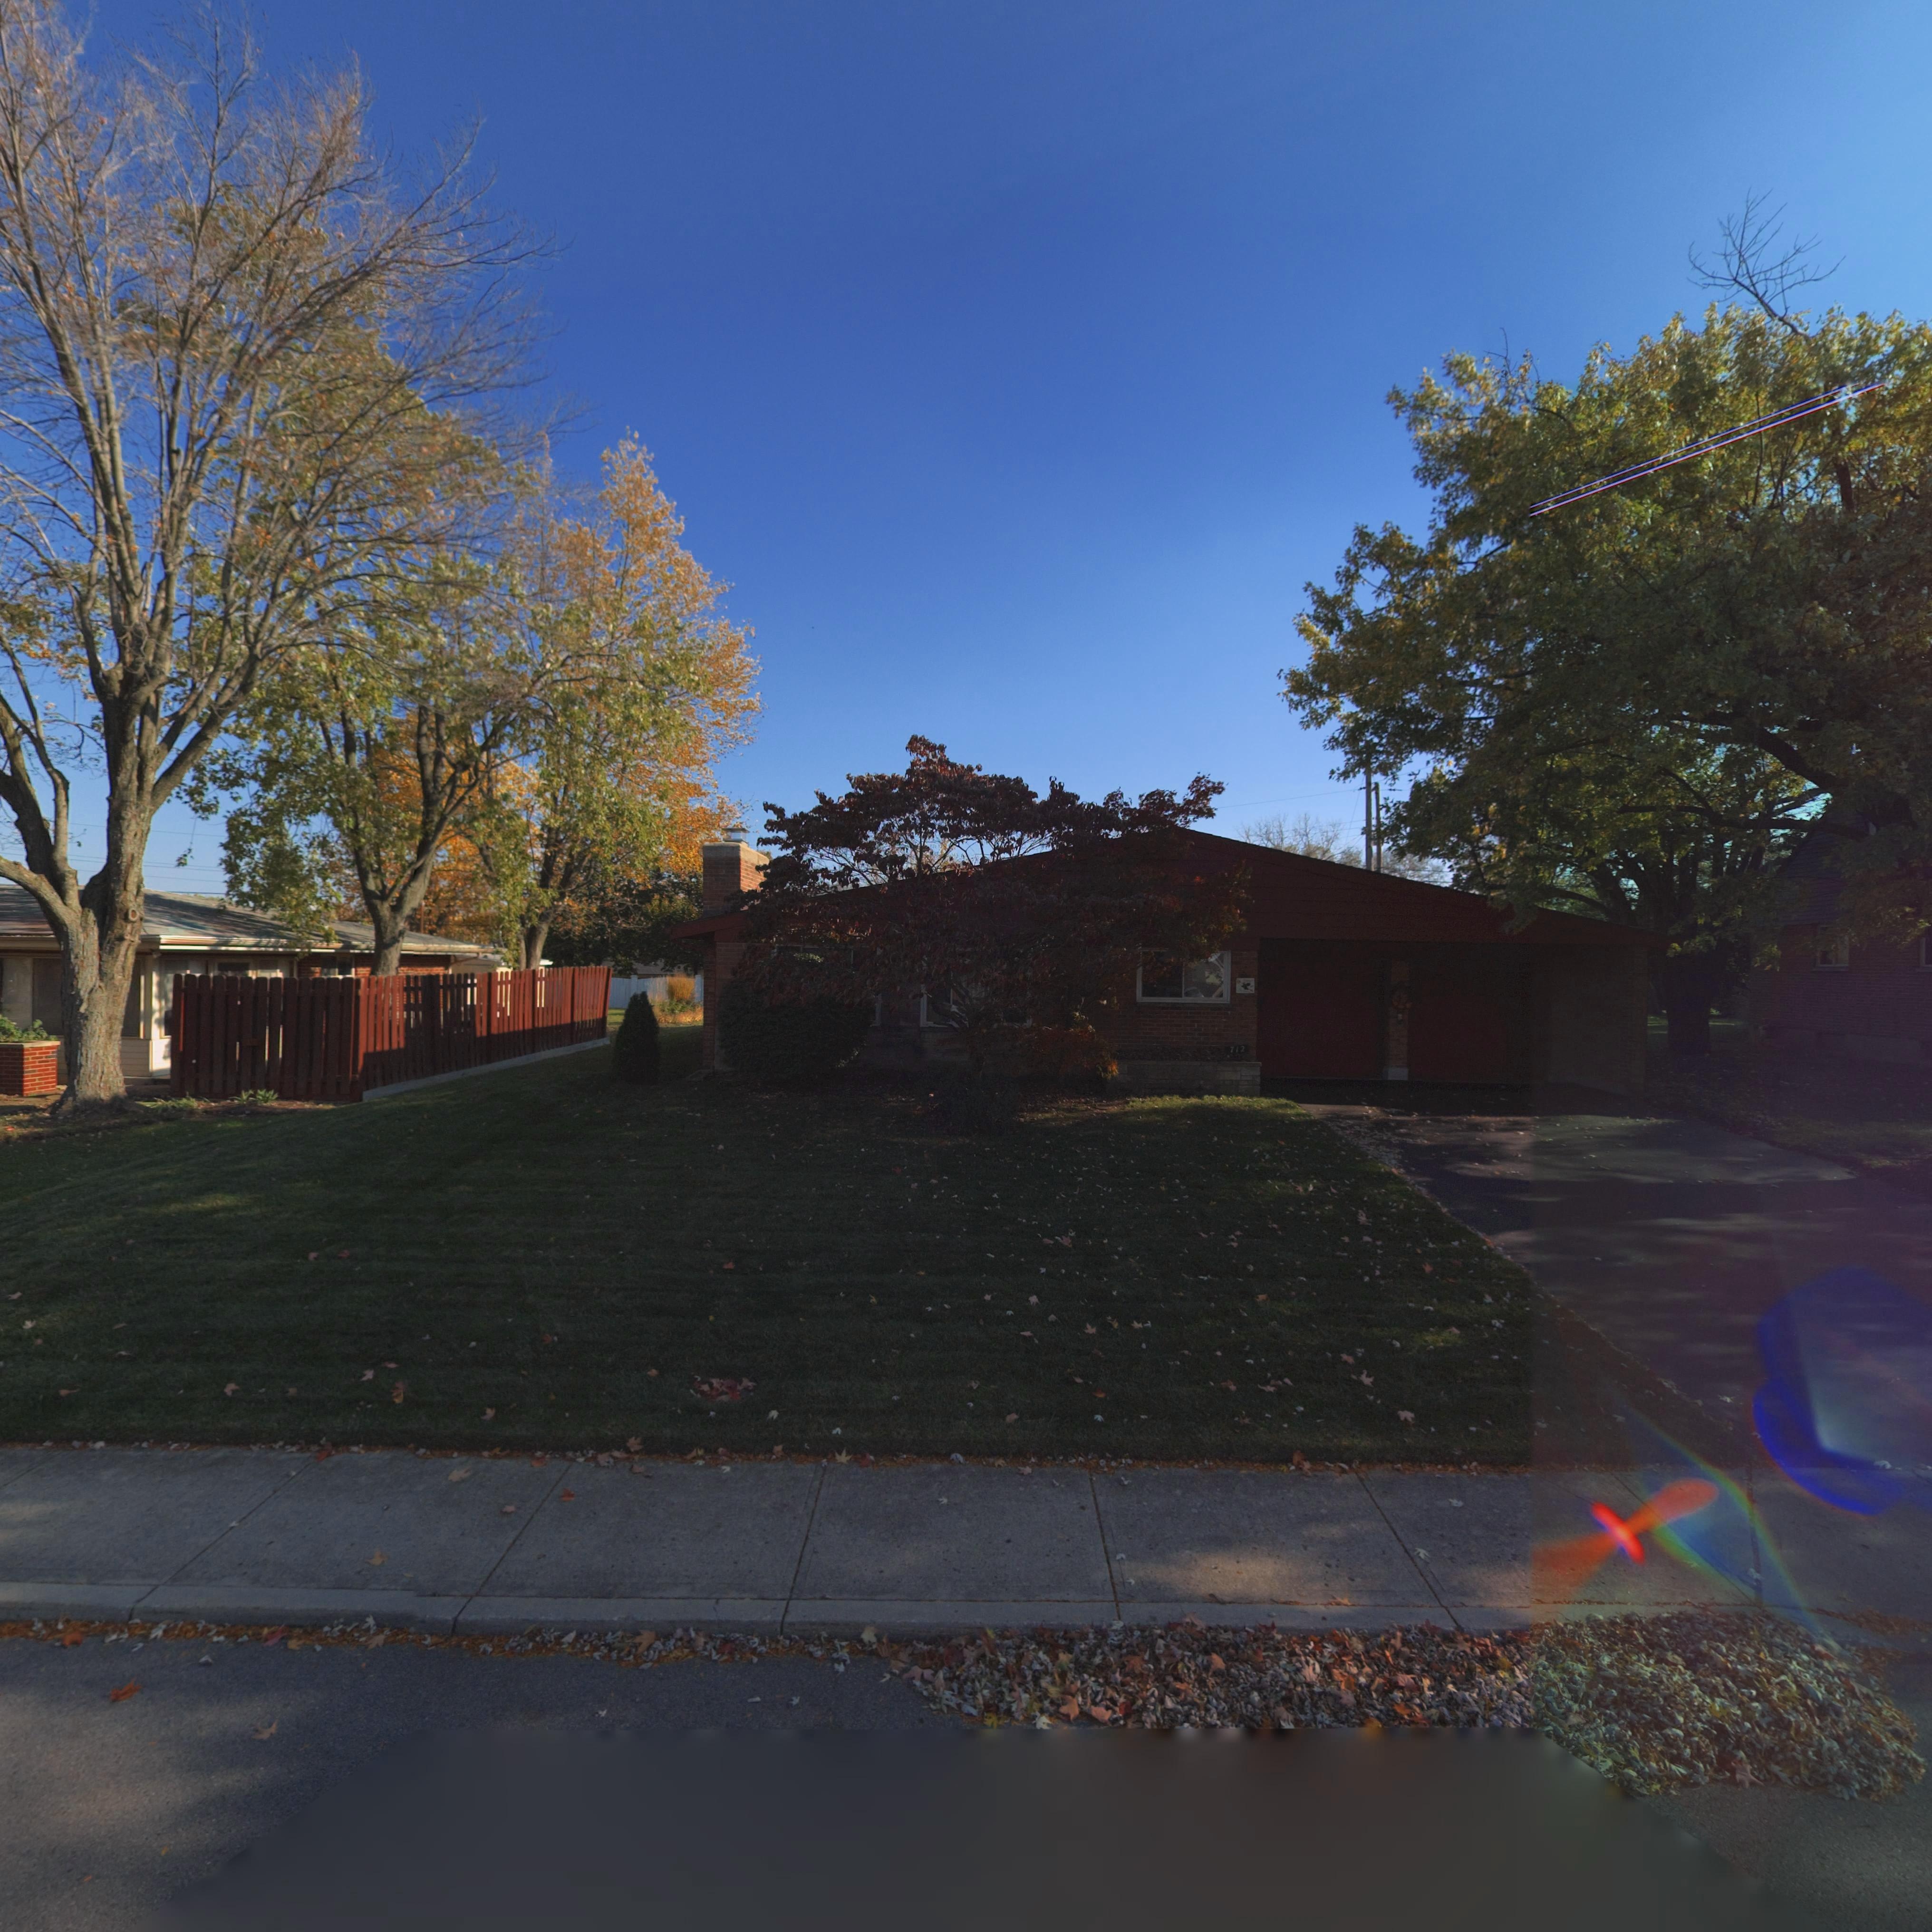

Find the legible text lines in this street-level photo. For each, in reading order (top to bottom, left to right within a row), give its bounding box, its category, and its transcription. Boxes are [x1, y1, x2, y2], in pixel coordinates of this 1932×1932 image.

[1229, 1045, 1246, 1053] StreetNumber: 712